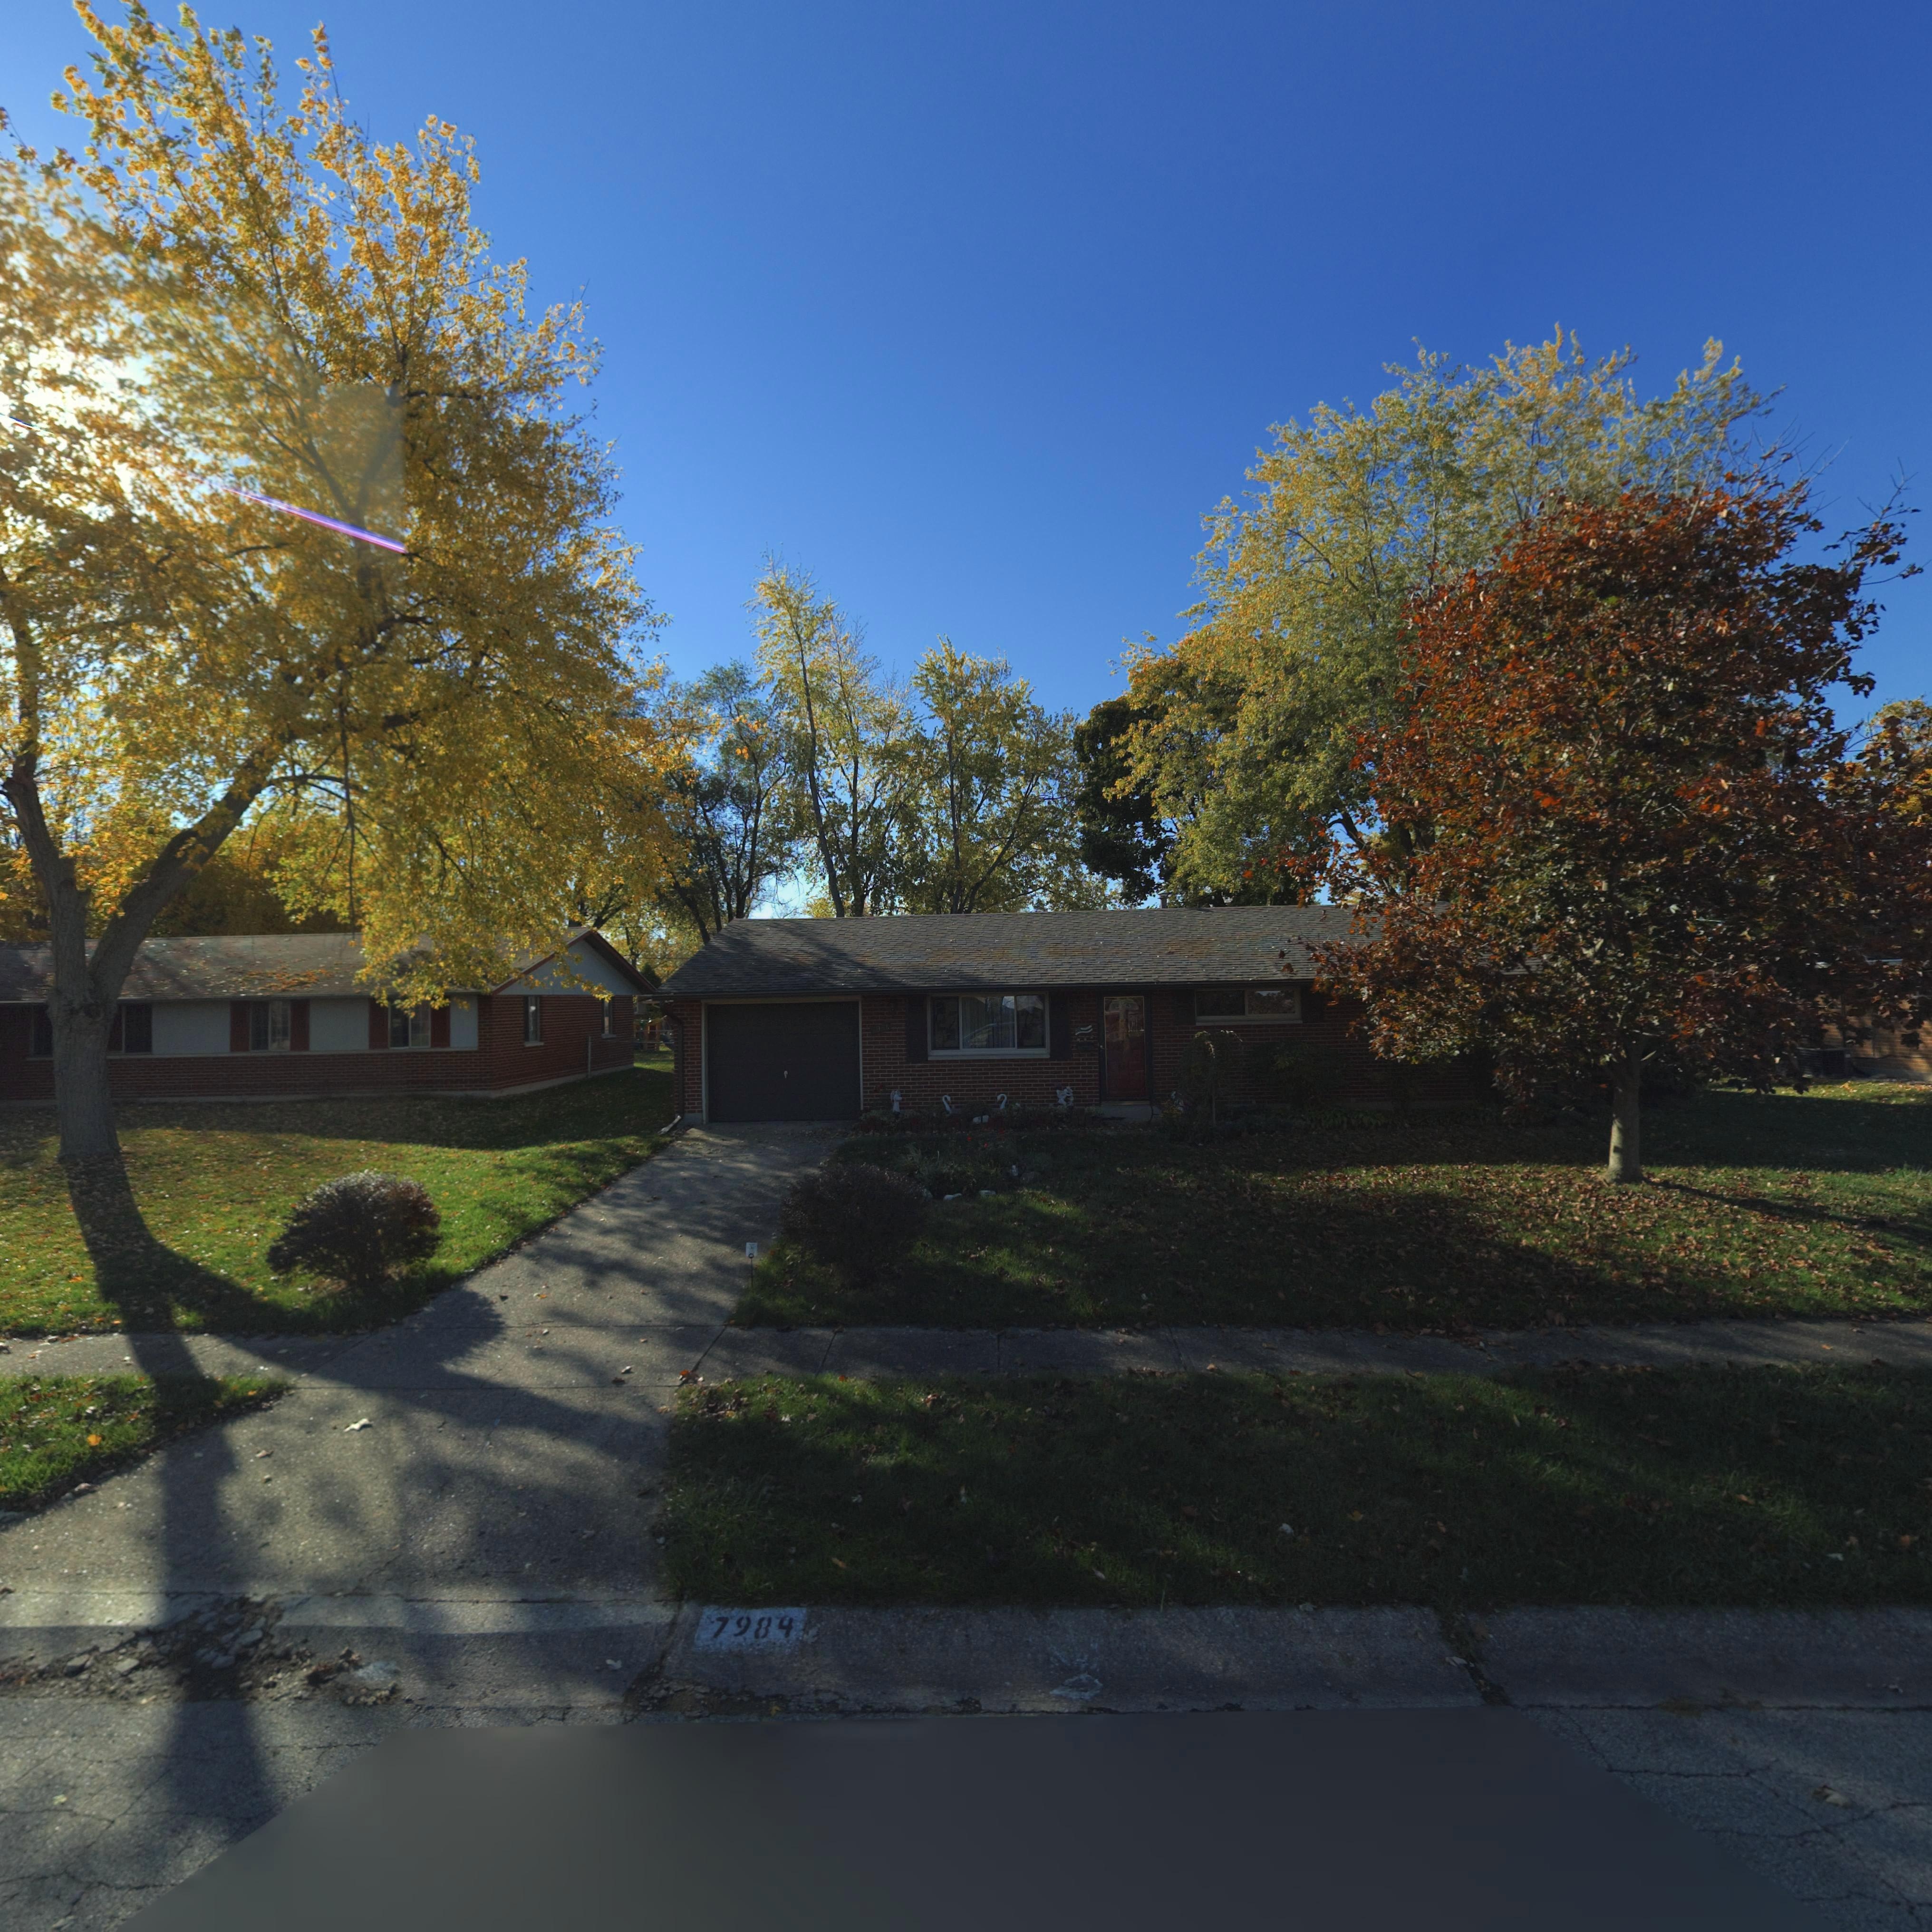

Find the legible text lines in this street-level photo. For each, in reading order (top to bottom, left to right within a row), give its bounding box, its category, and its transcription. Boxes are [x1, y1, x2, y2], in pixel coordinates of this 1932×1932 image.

[711, 1615, 796, 1642] StreetNumber: 7984